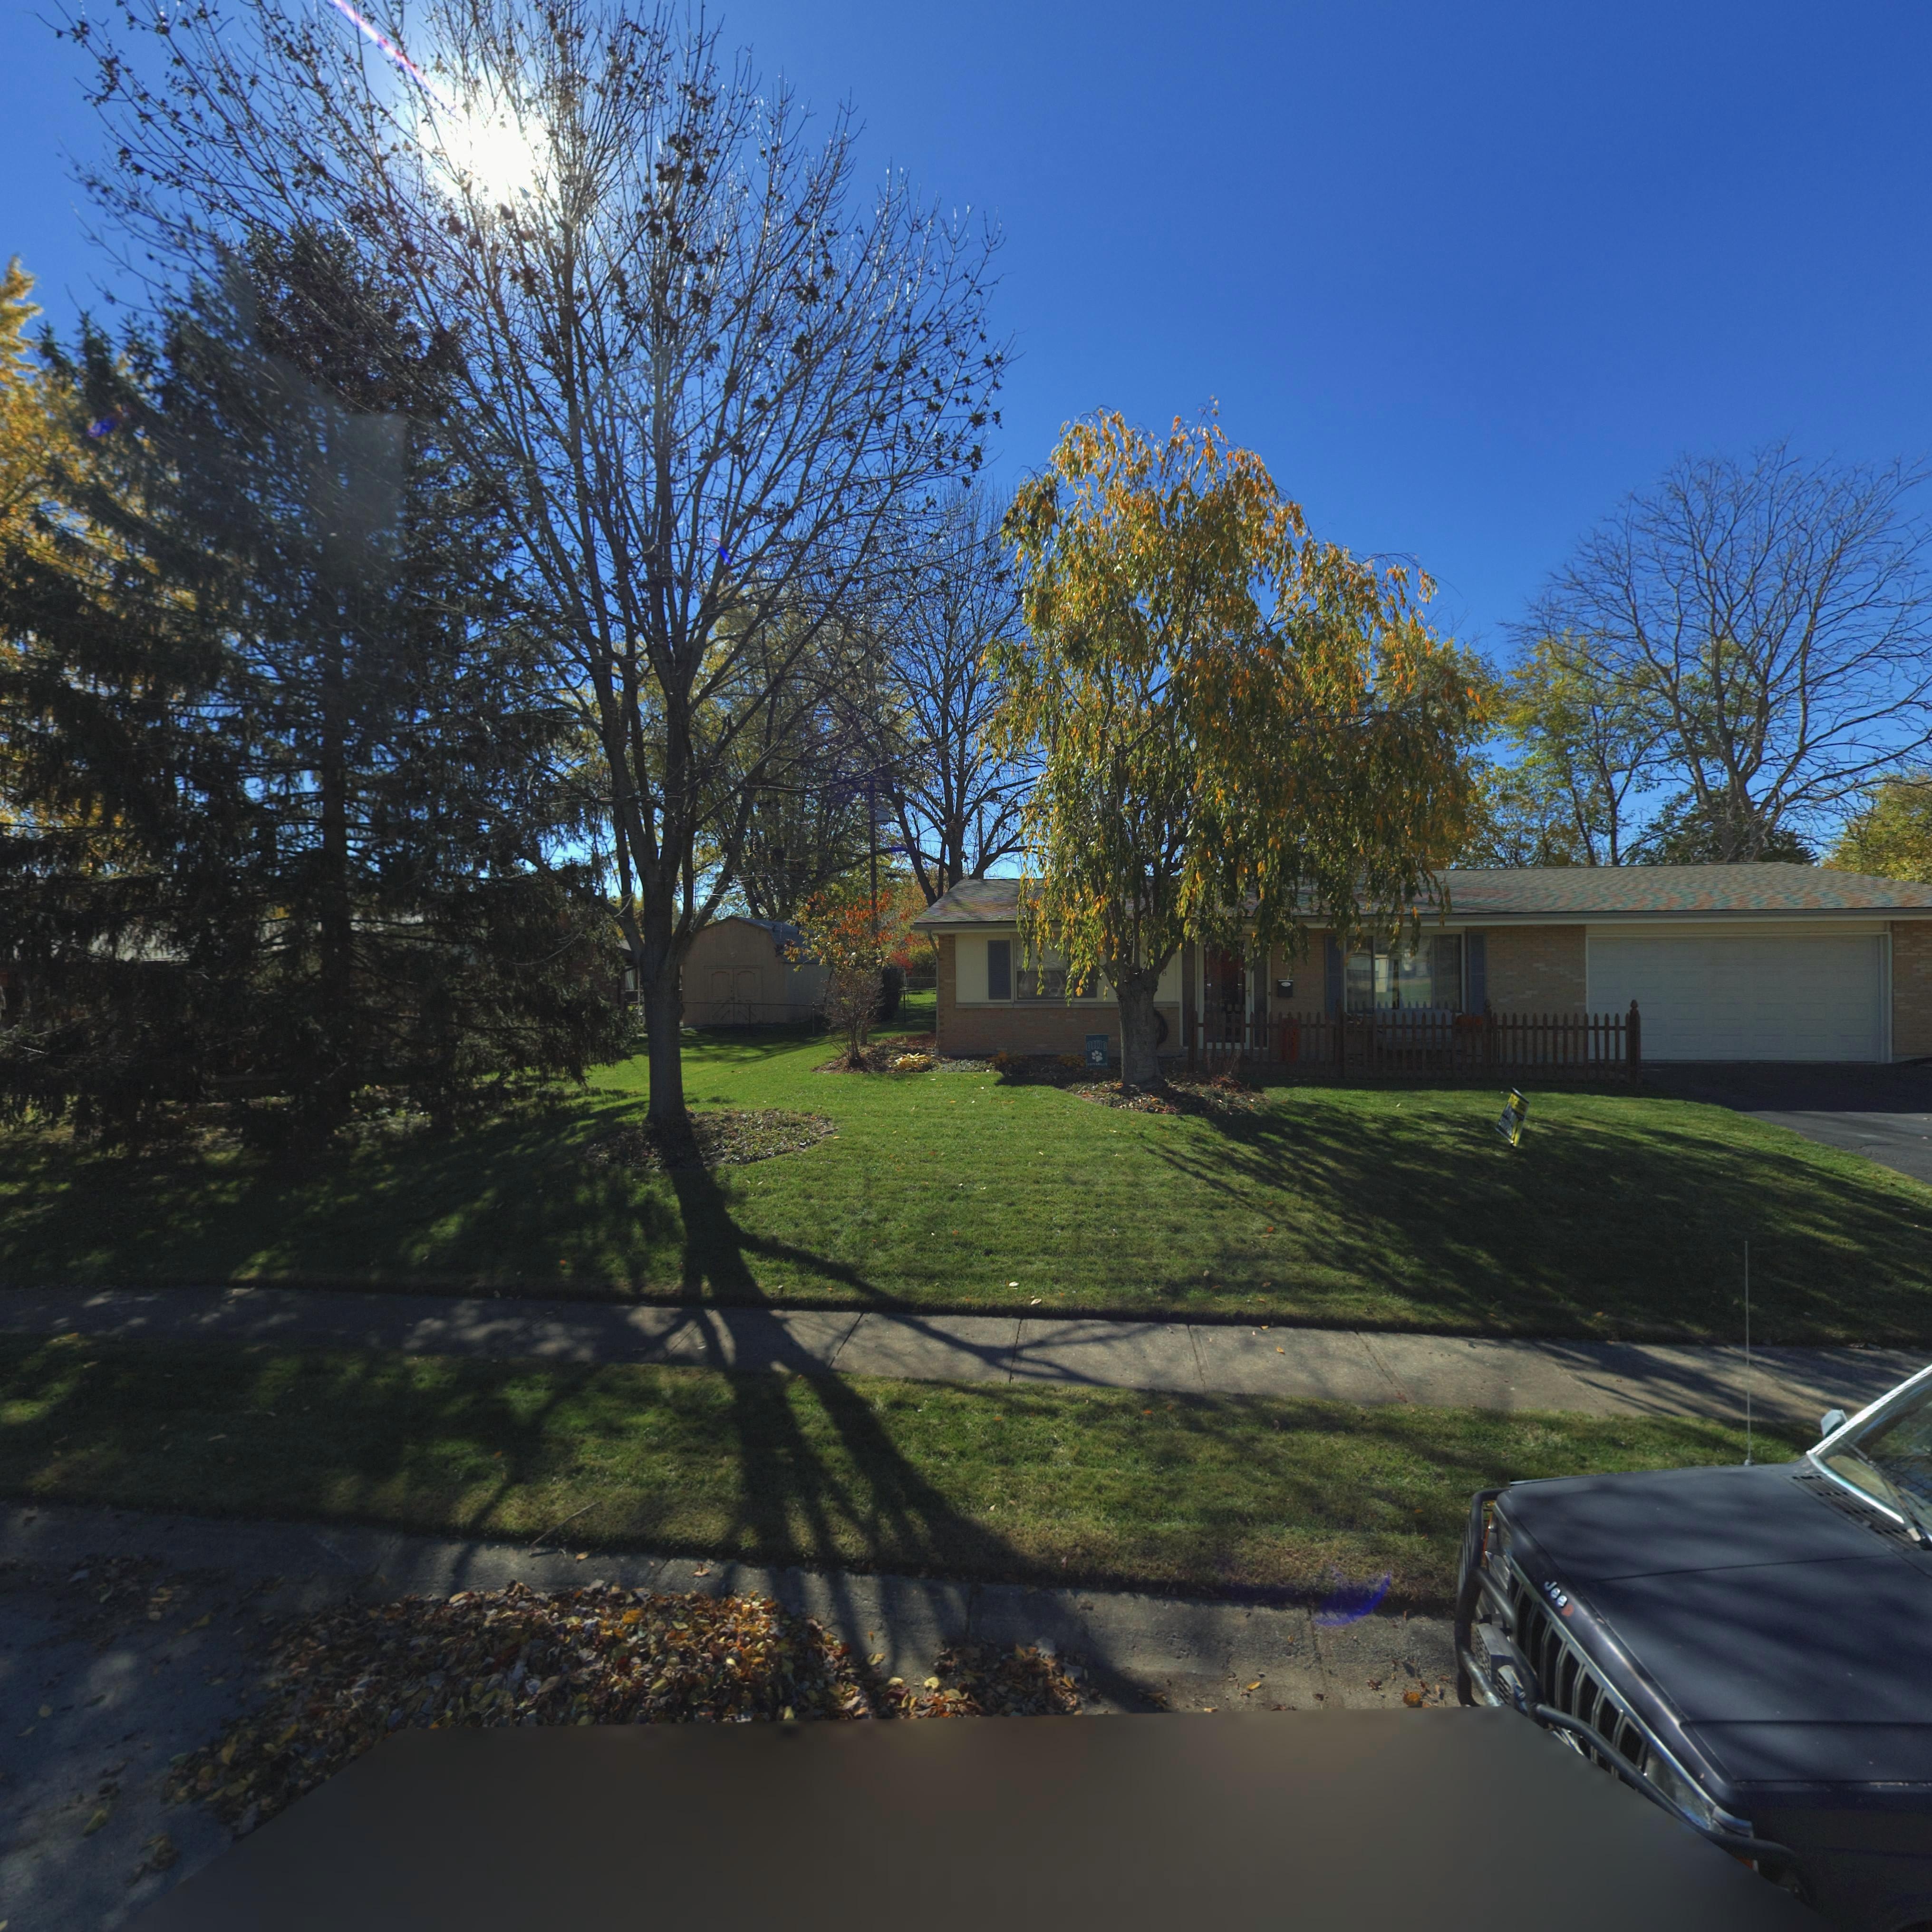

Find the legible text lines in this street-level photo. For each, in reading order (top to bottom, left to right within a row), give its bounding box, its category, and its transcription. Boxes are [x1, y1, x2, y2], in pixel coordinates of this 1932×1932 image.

[1161, 970, 1167, 976] StreetNumber: 8